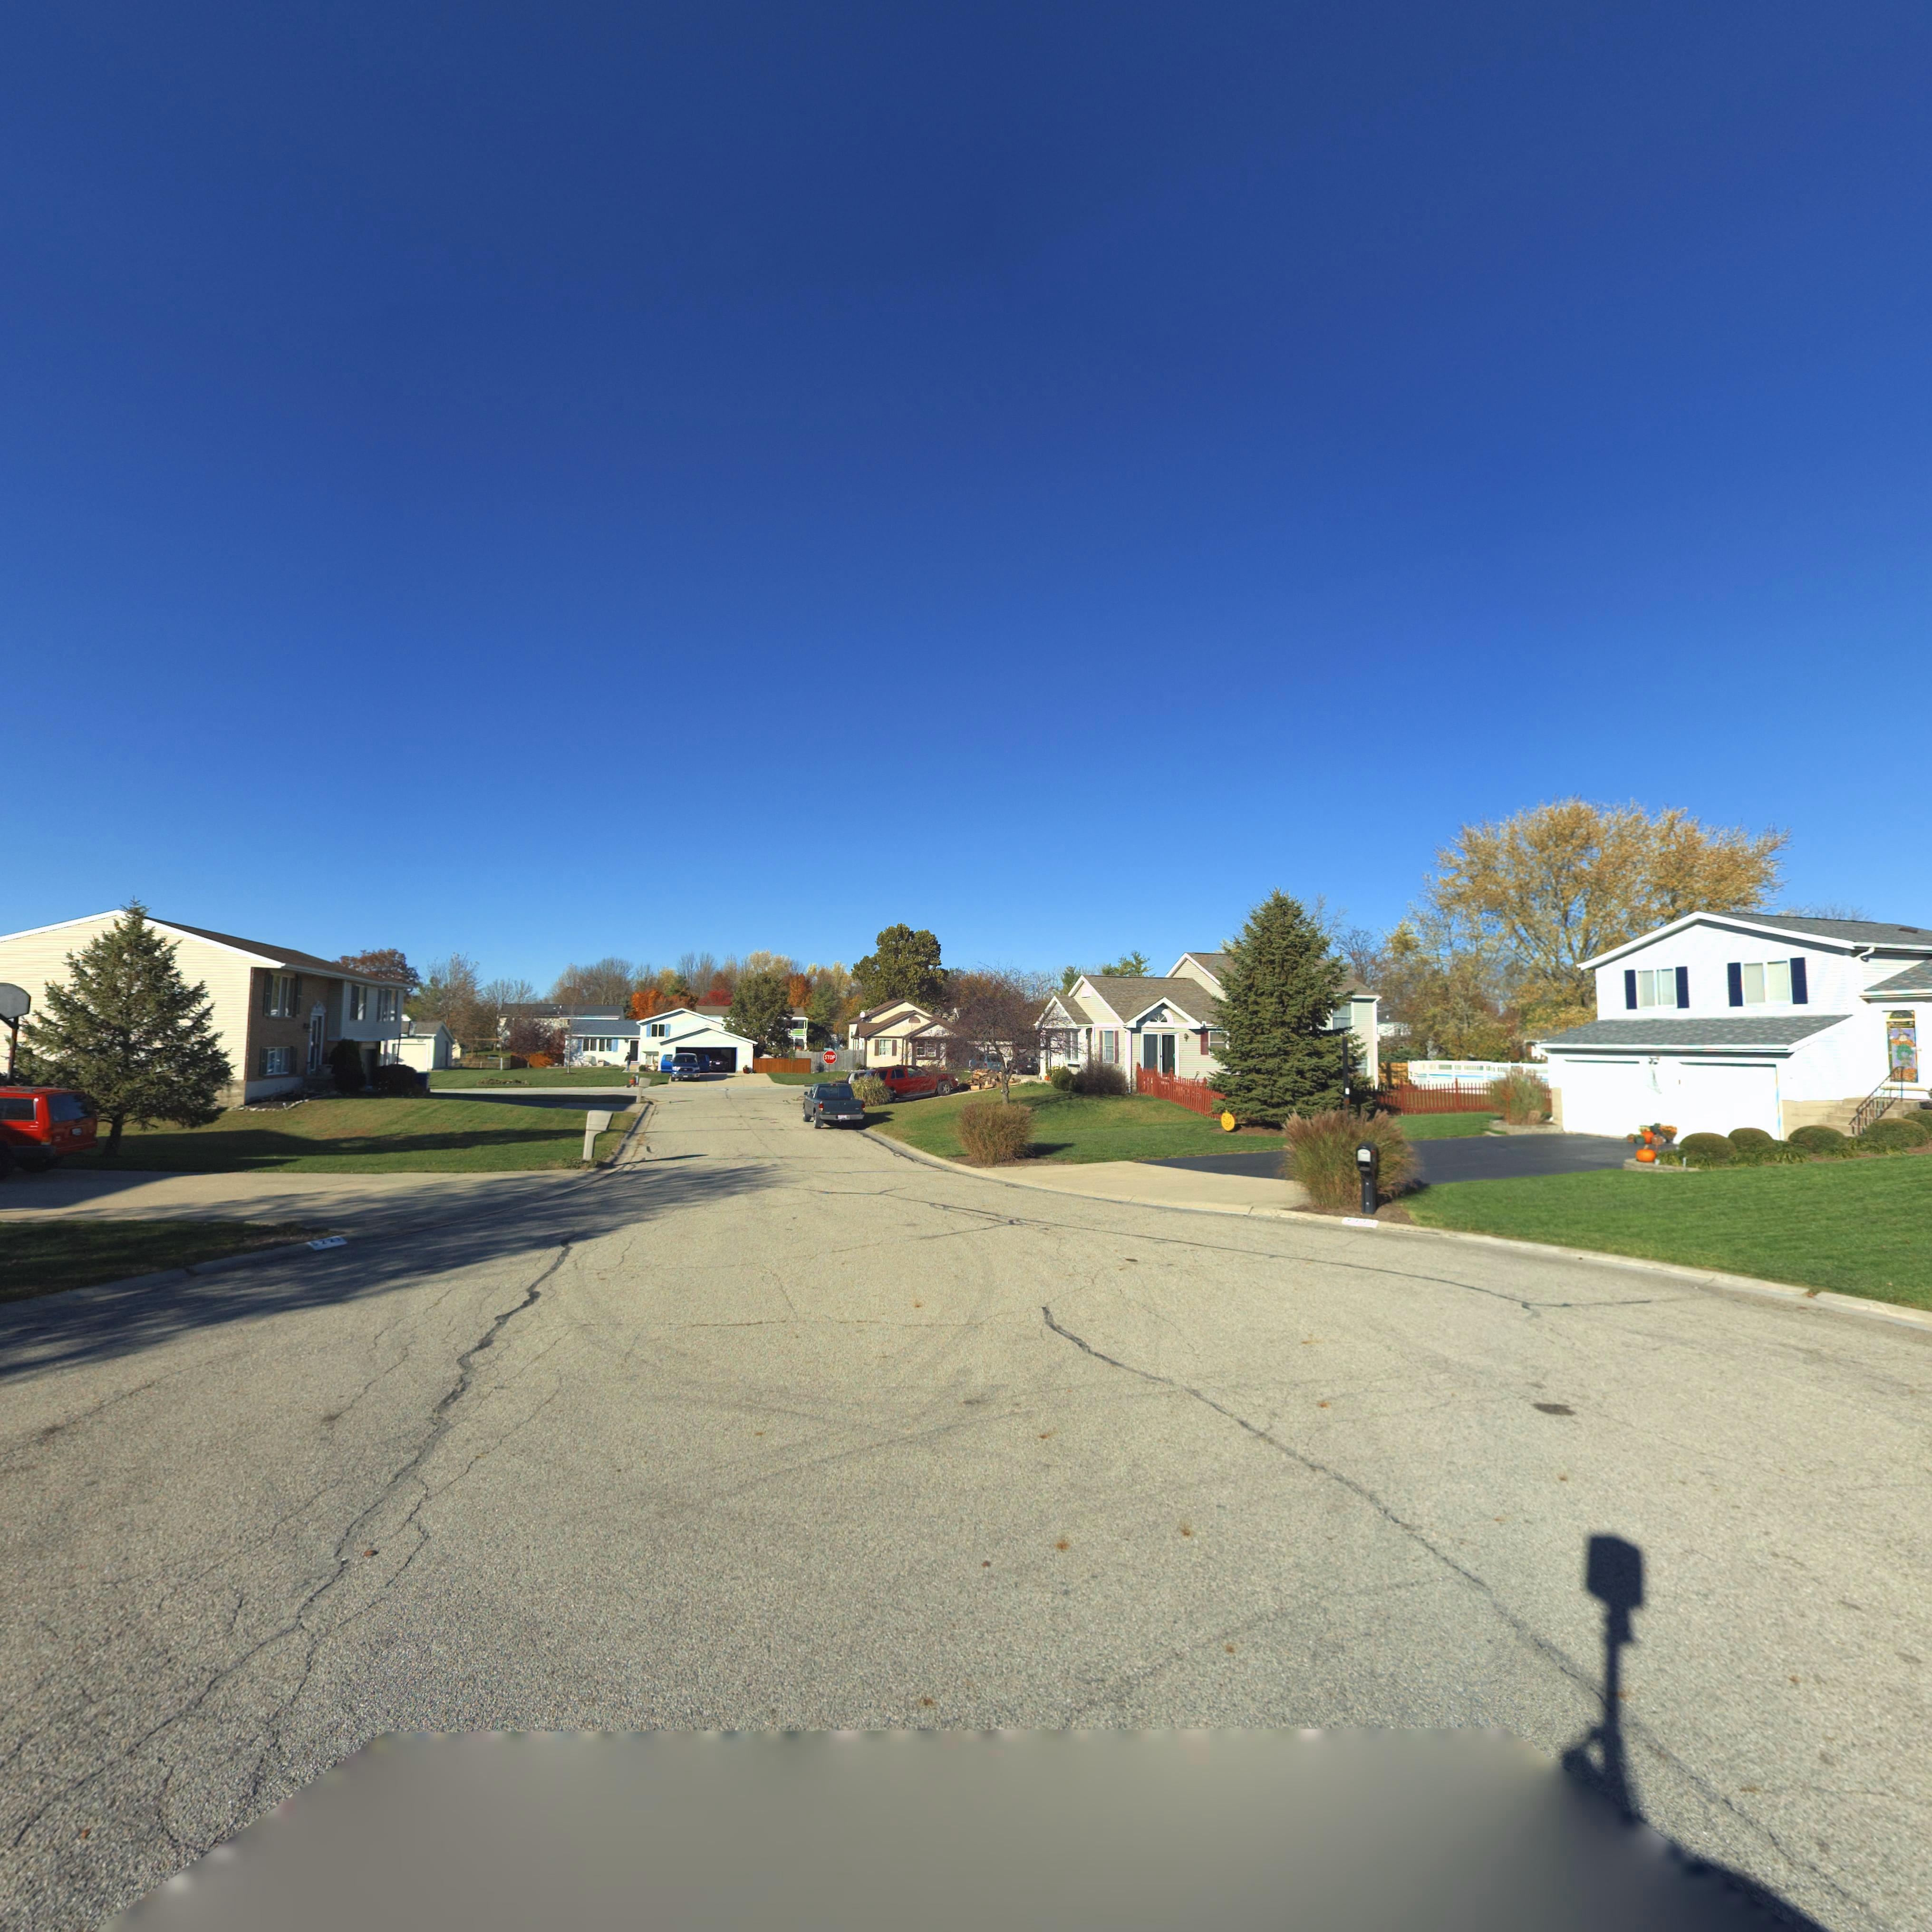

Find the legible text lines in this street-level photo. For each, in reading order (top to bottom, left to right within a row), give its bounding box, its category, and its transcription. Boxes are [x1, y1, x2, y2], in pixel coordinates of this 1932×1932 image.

[309, 1235, 342, 1248] StreetNumber: *22*